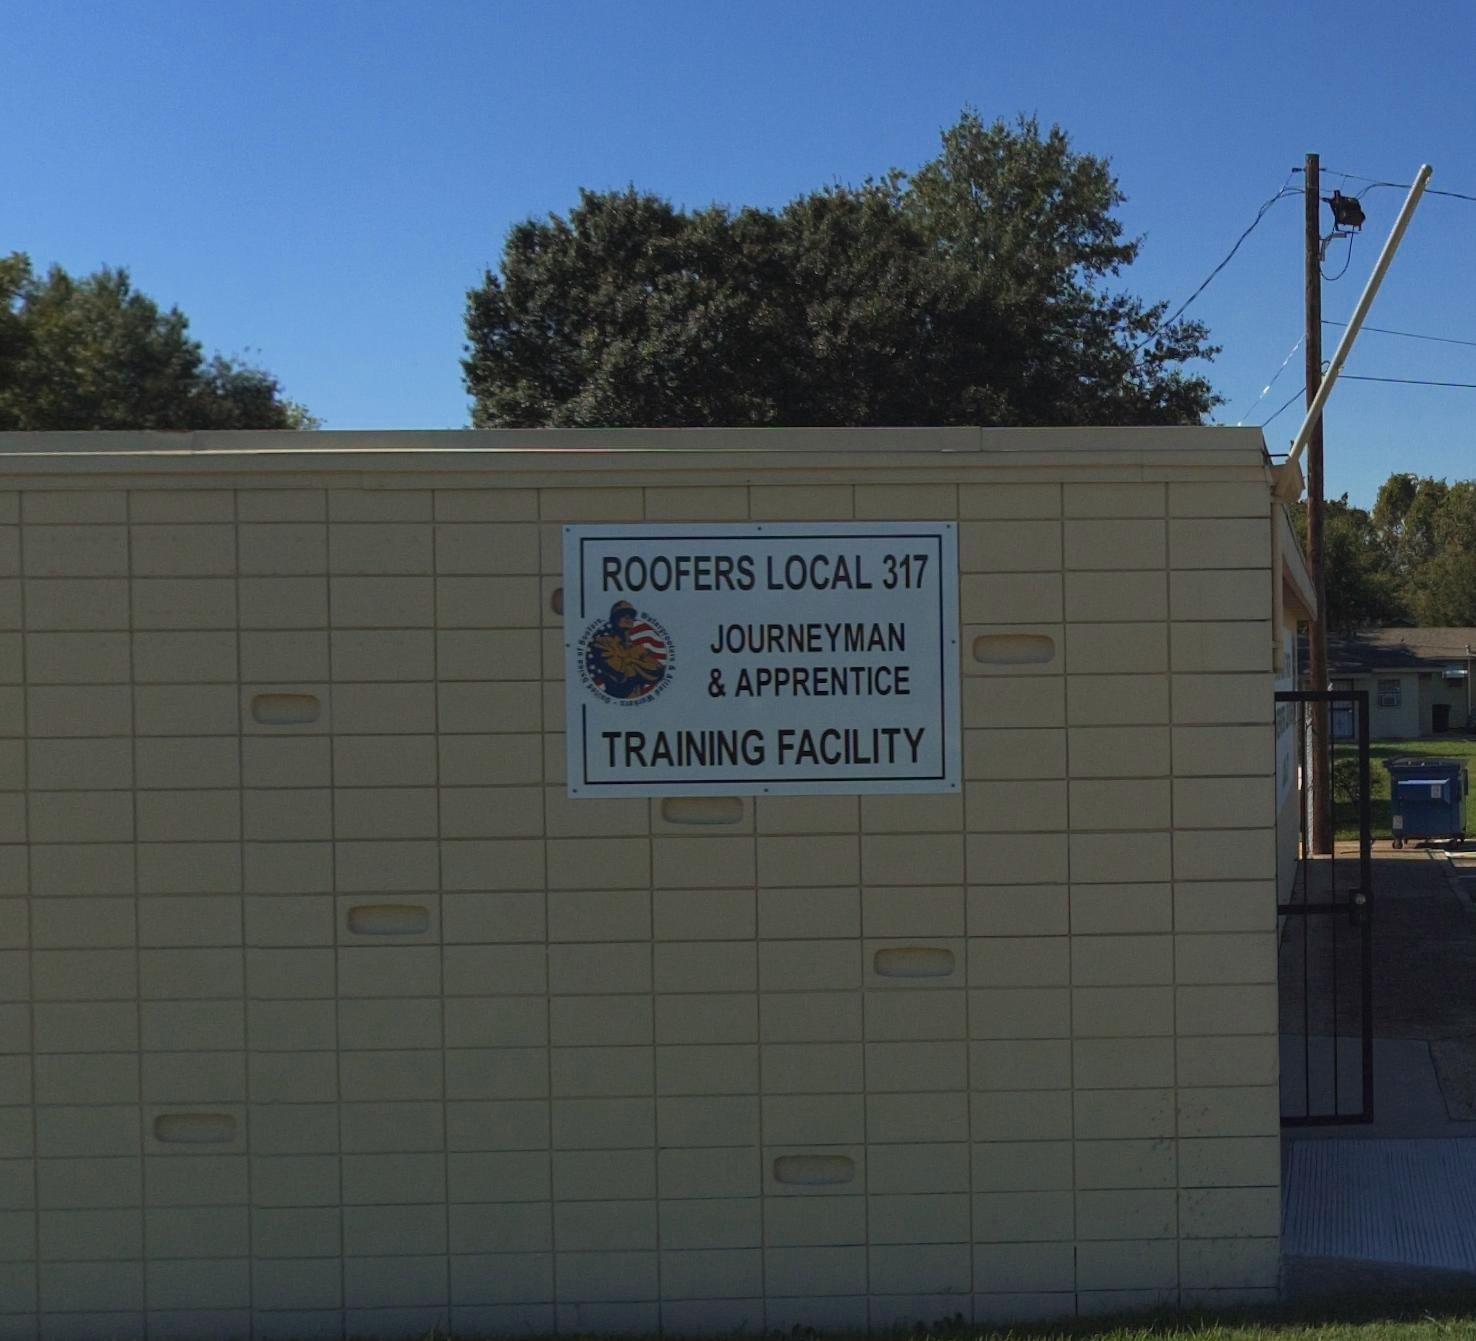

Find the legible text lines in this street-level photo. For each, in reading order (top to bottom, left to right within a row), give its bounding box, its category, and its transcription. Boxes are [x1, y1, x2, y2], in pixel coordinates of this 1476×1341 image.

[598, 549, 935, 595] BusinessName: ROOFERS LOCAL 317
[707, 619, 909, 657] None: JOURNEYMAN
[729, 663, 913, 700] None: APPRENTICE
[598, 725, 930, 770] None: TRAINING FACILITY